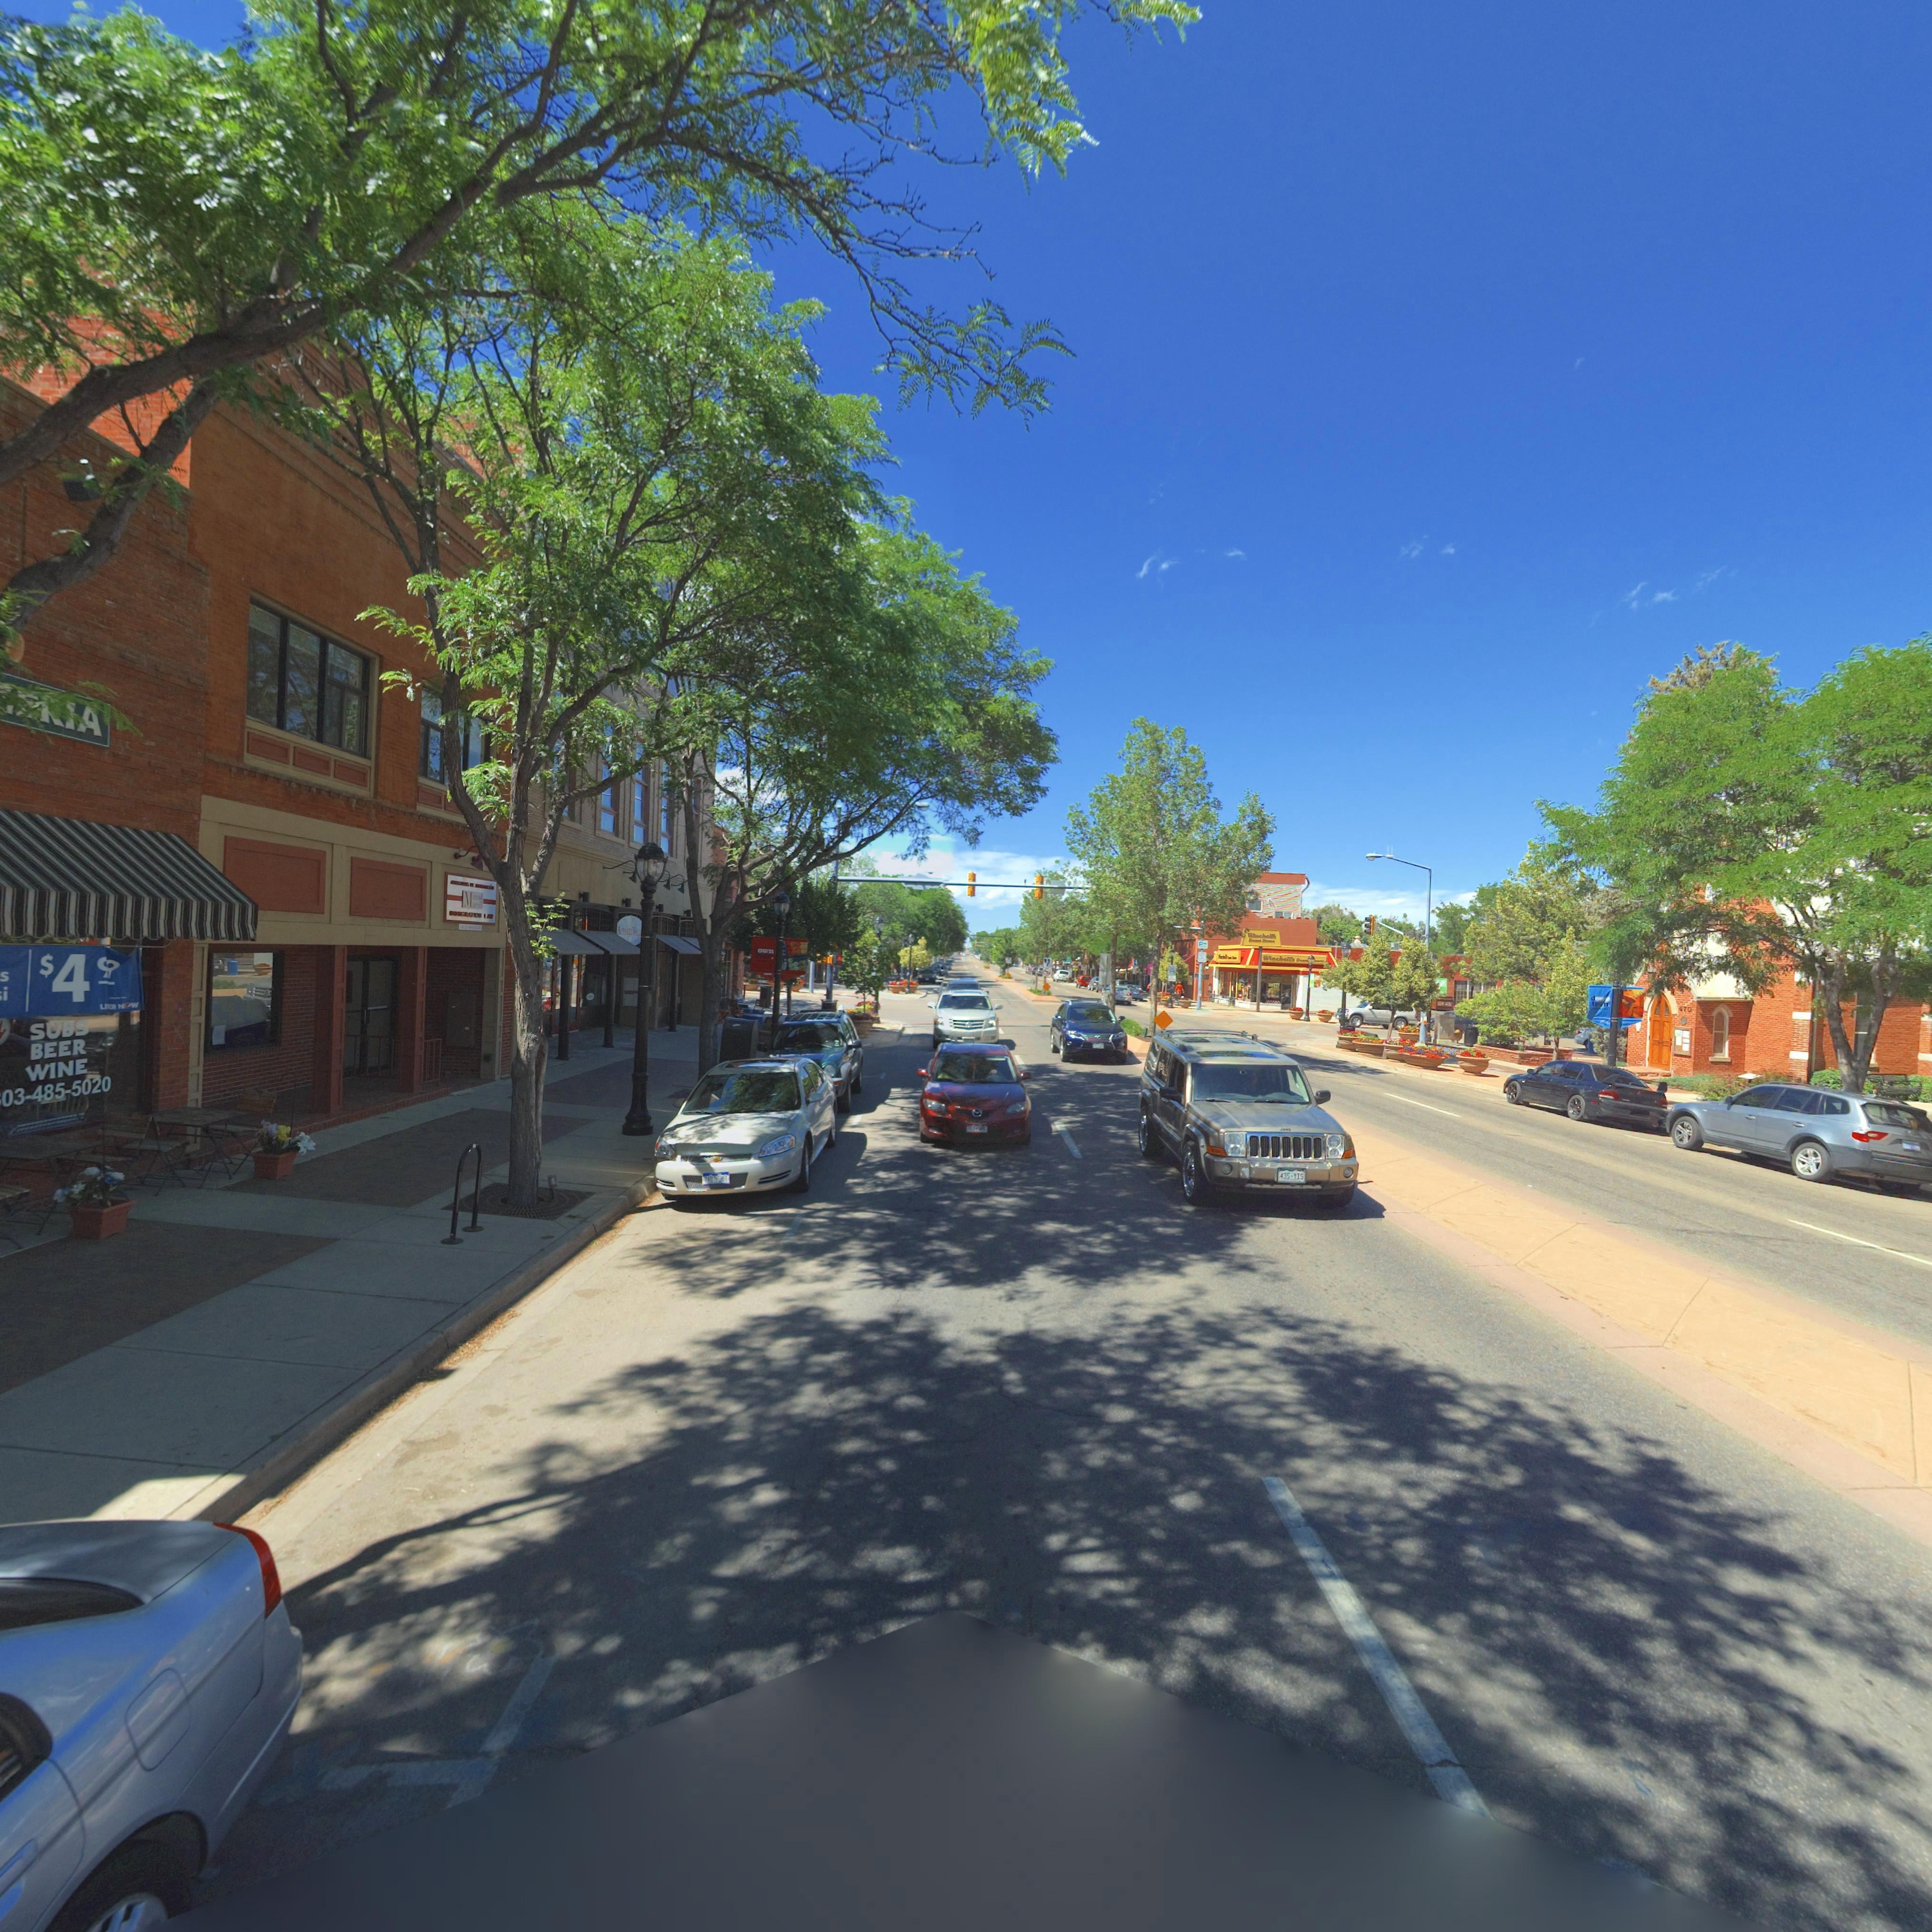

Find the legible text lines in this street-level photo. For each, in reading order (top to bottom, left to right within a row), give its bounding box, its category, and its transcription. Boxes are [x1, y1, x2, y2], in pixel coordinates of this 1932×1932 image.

[76, 704, 103, 738] BusinessName: A
[464, 891, 473, 907] BusinessName: M
[472, 893, 483, 900] BusinessName: *ra*
[472, 900, 483, 908] None: u*a*
[449, 910, 493, 919] BusinessName: ****GRA*ION
[617, 926, 641, 936] BusinessName: APPA**L V*LL
[1248, 933, 1276, 939] BusinessName: Winchell*s
[1249, 938, 1275, 944] BusinessName: D**** H****
[1263, 955, 1308, 962] BusinessName: Winchell** D***
[1679, 1005, 1691, 1012] StreetNumber: *70